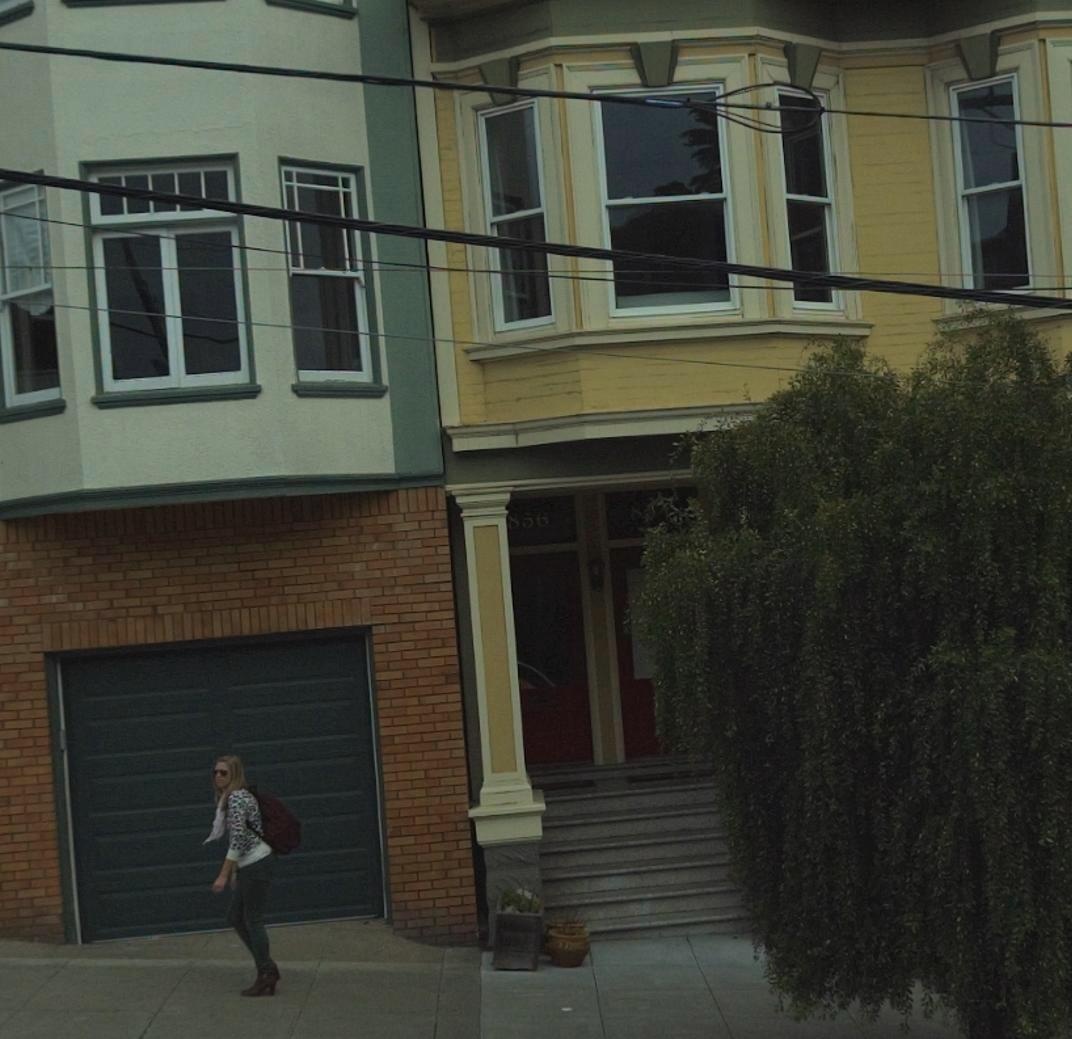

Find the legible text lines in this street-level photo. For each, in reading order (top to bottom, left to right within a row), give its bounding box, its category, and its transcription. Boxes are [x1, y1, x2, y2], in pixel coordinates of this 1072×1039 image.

[506, 509, 551, 530] StreetNumber: 856
[629, 500, 644, 522] StreetNumber: 8